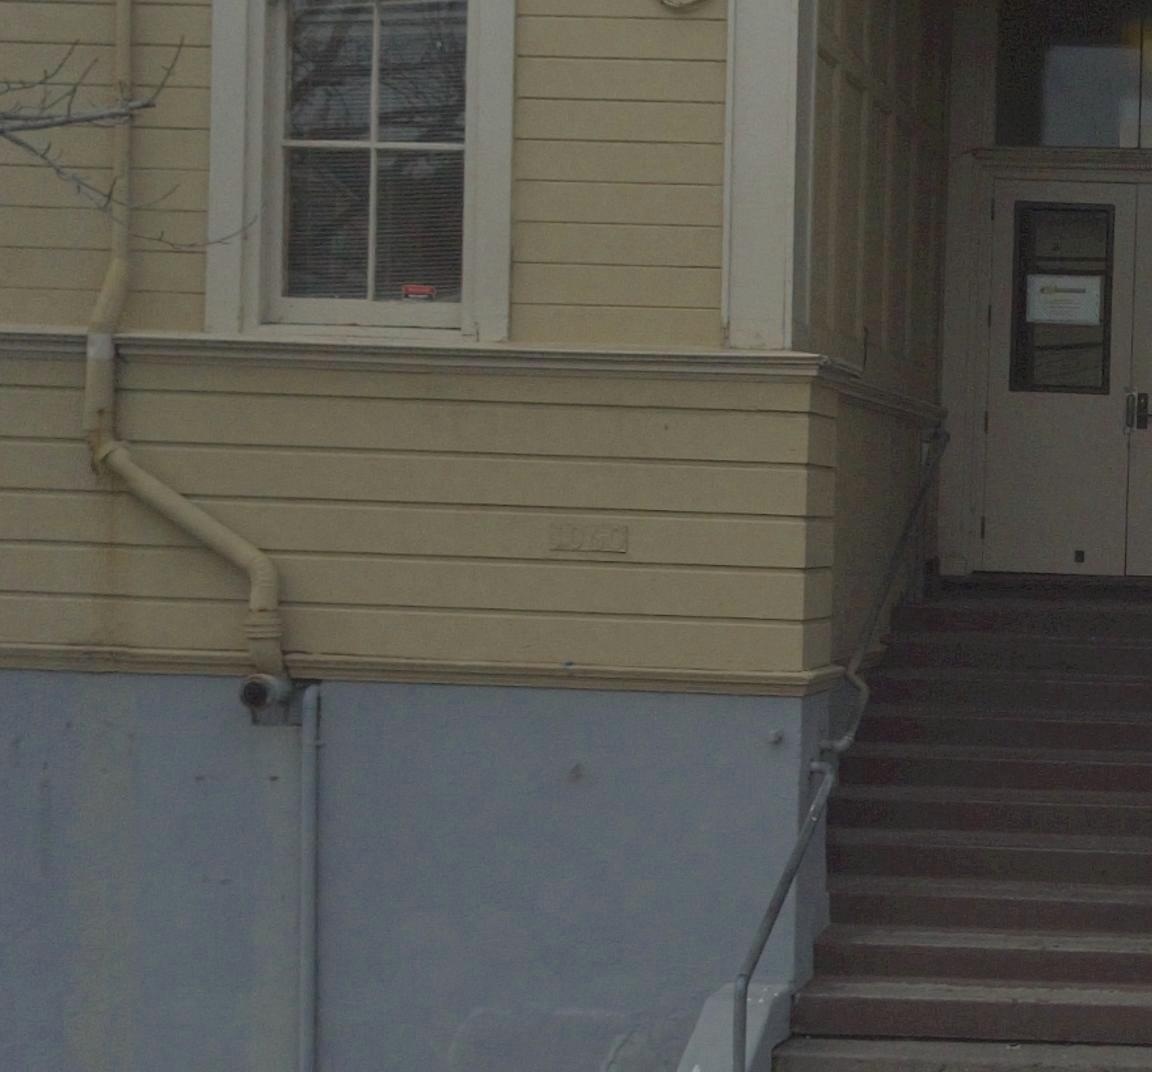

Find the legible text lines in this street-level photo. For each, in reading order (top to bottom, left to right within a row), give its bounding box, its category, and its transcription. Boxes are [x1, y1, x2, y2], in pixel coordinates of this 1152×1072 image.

[550, 518, 631, 554] StreetNumber: 1060